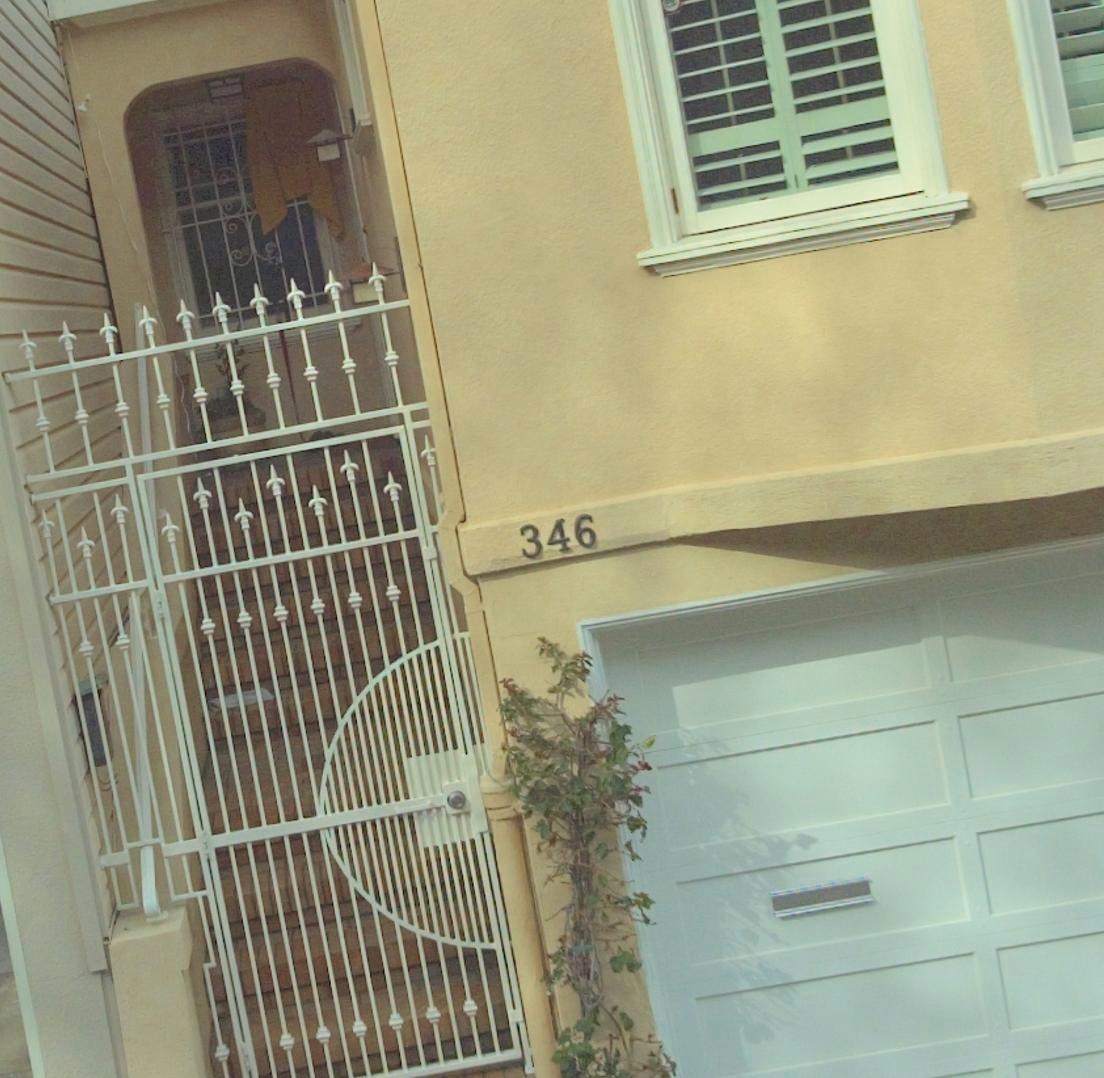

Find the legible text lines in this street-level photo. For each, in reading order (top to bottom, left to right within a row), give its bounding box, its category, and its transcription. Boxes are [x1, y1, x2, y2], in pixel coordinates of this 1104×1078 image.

[518, 511, 598, 561] StreetNumber: 346